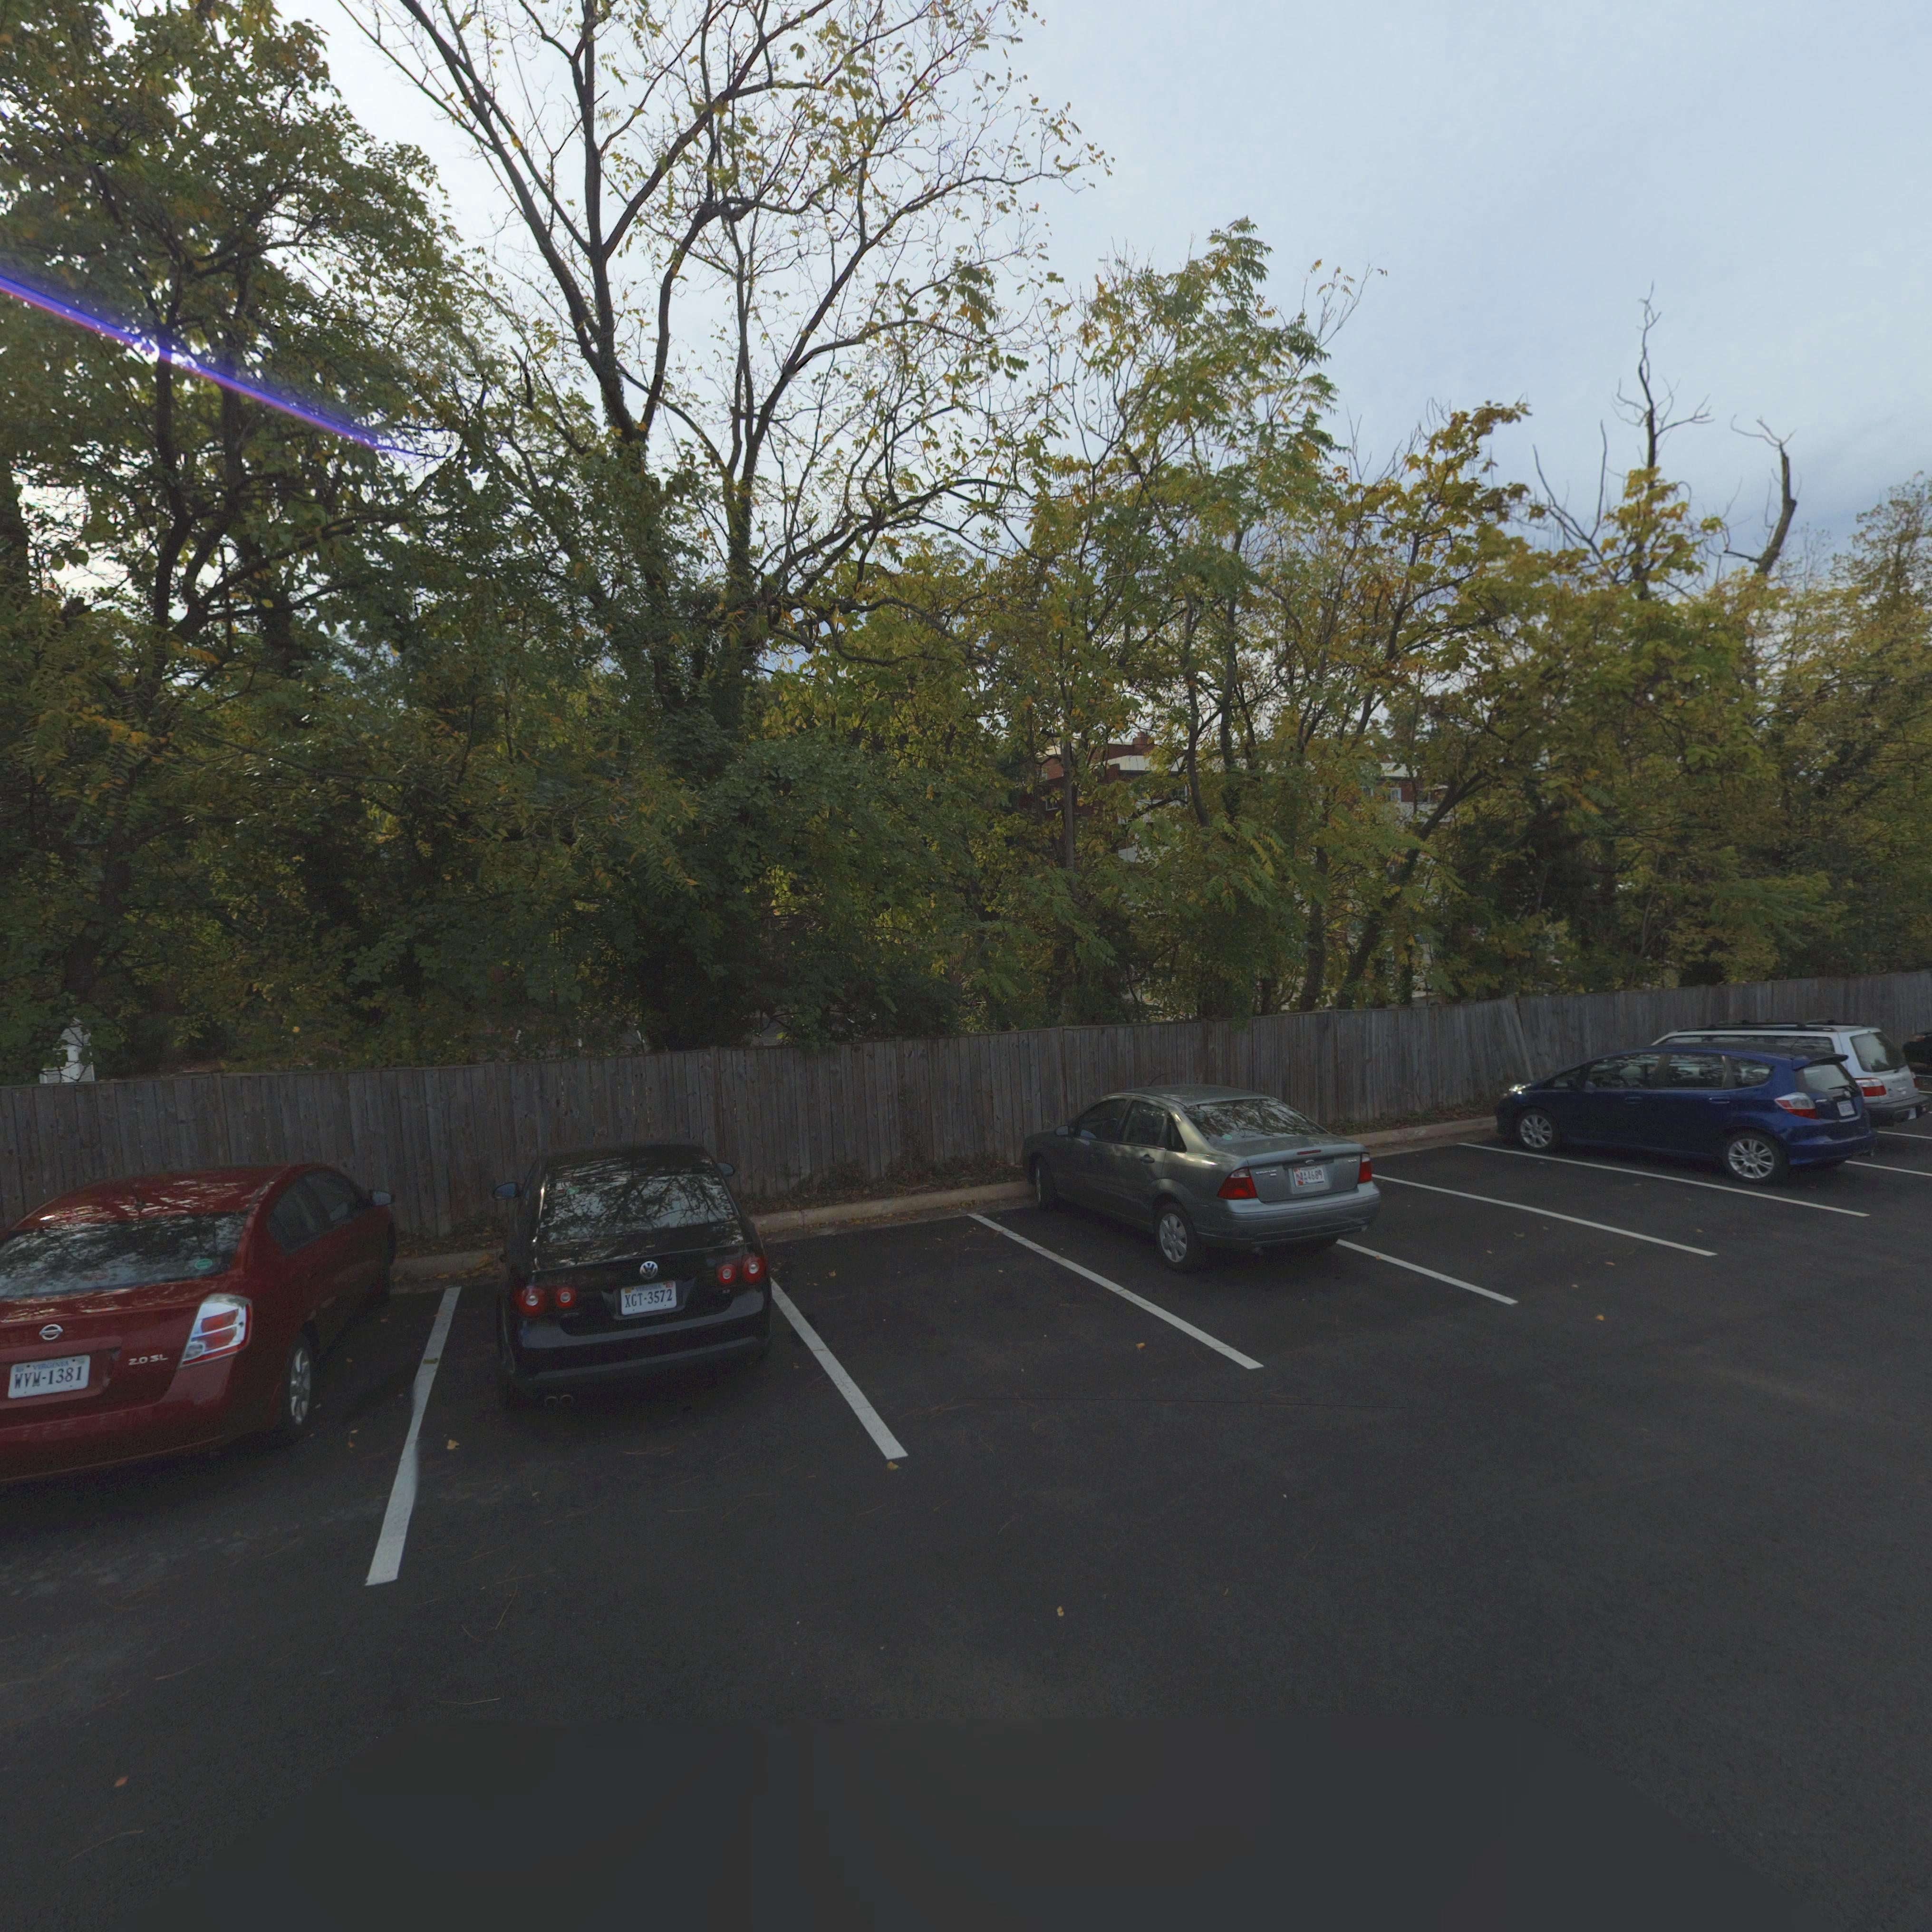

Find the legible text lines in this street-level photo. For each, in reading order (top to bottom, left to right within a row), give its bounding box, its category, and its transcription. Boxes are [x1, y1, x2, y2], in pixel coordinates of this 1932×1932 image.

[1305, 1168, 1325, 1181] None: 4689
[635, 1285, 662, 1292] None: VIRGINIA
[667, 1283, 672, 1287] None: 12
[624, 1288, 673, 1308] None: XGT-3572
[30, 1360, 69, 1371] None: VIRGINIA
[126, 1353, 172, 1367] None: 2.0 SL
[14, 1365, 84, 1390] None: WVM-1381